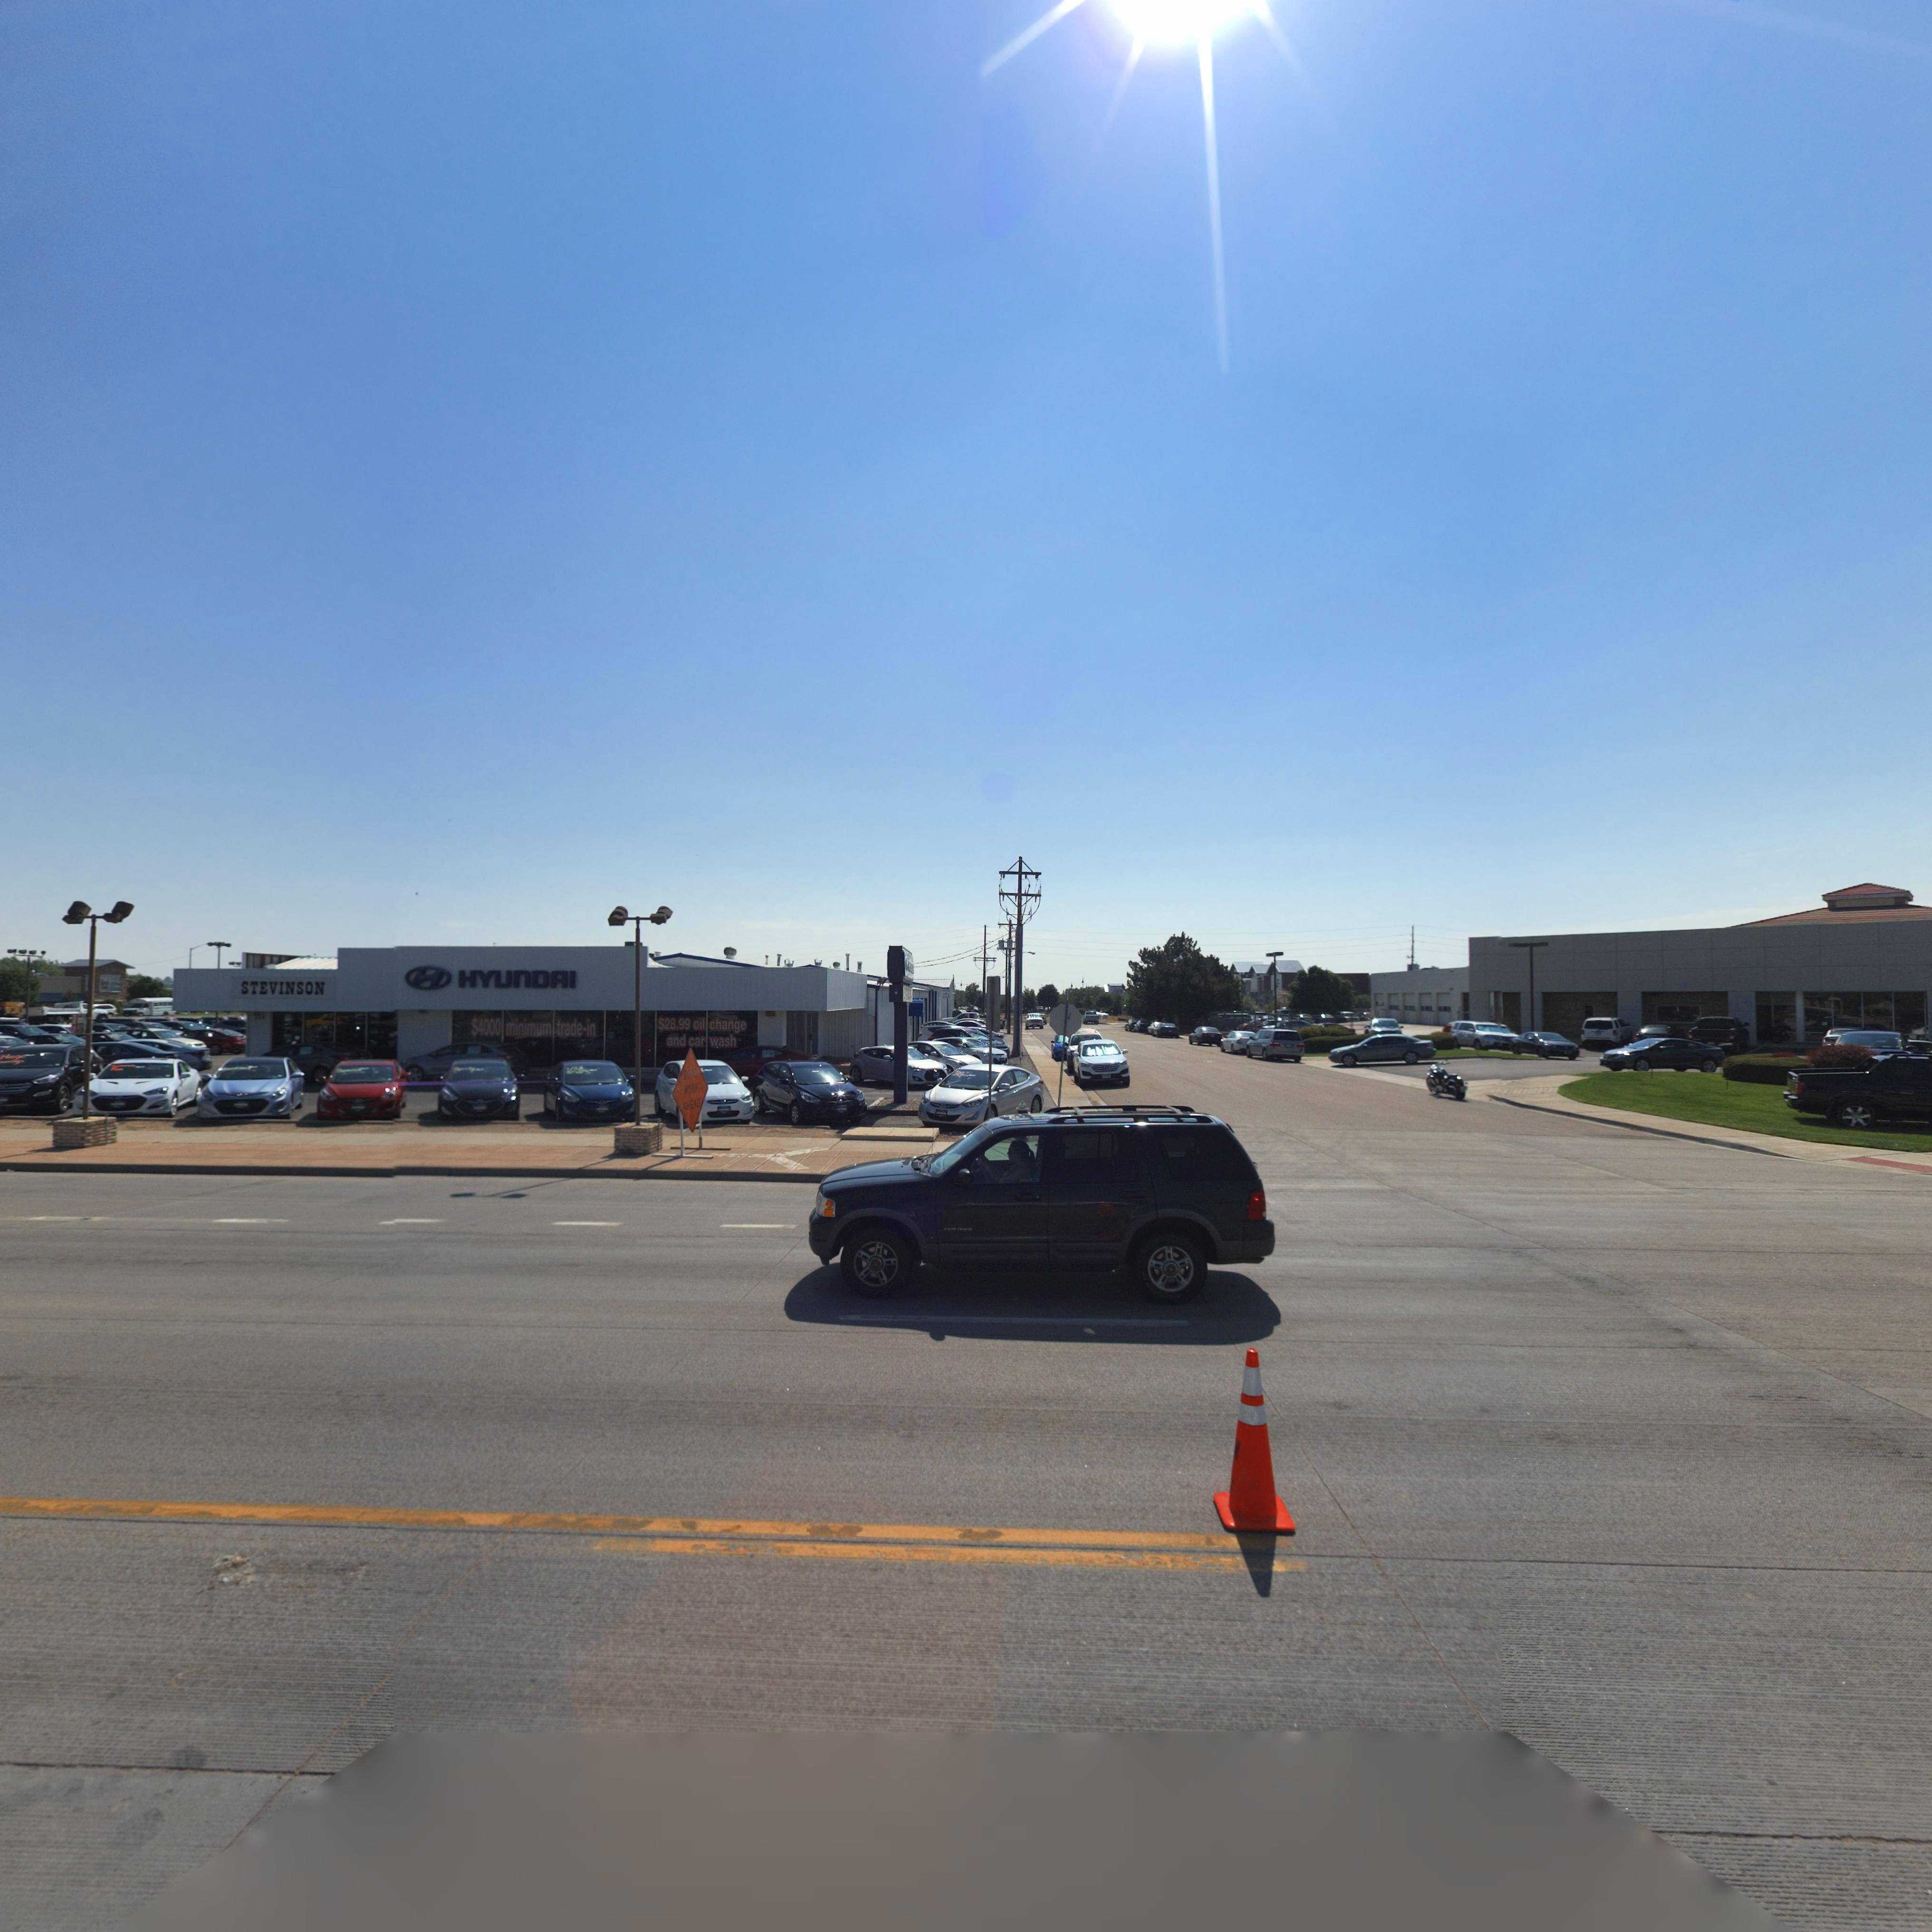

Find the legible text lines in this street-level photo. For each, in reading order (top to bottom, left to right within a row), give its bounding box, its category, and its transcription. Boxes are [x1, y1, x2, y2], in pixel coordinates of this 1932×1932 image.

[241, 980, 326, 995] BusinessName: STEVINSON
[457, 969, 578, 989] BusinessName: HYUnDAI